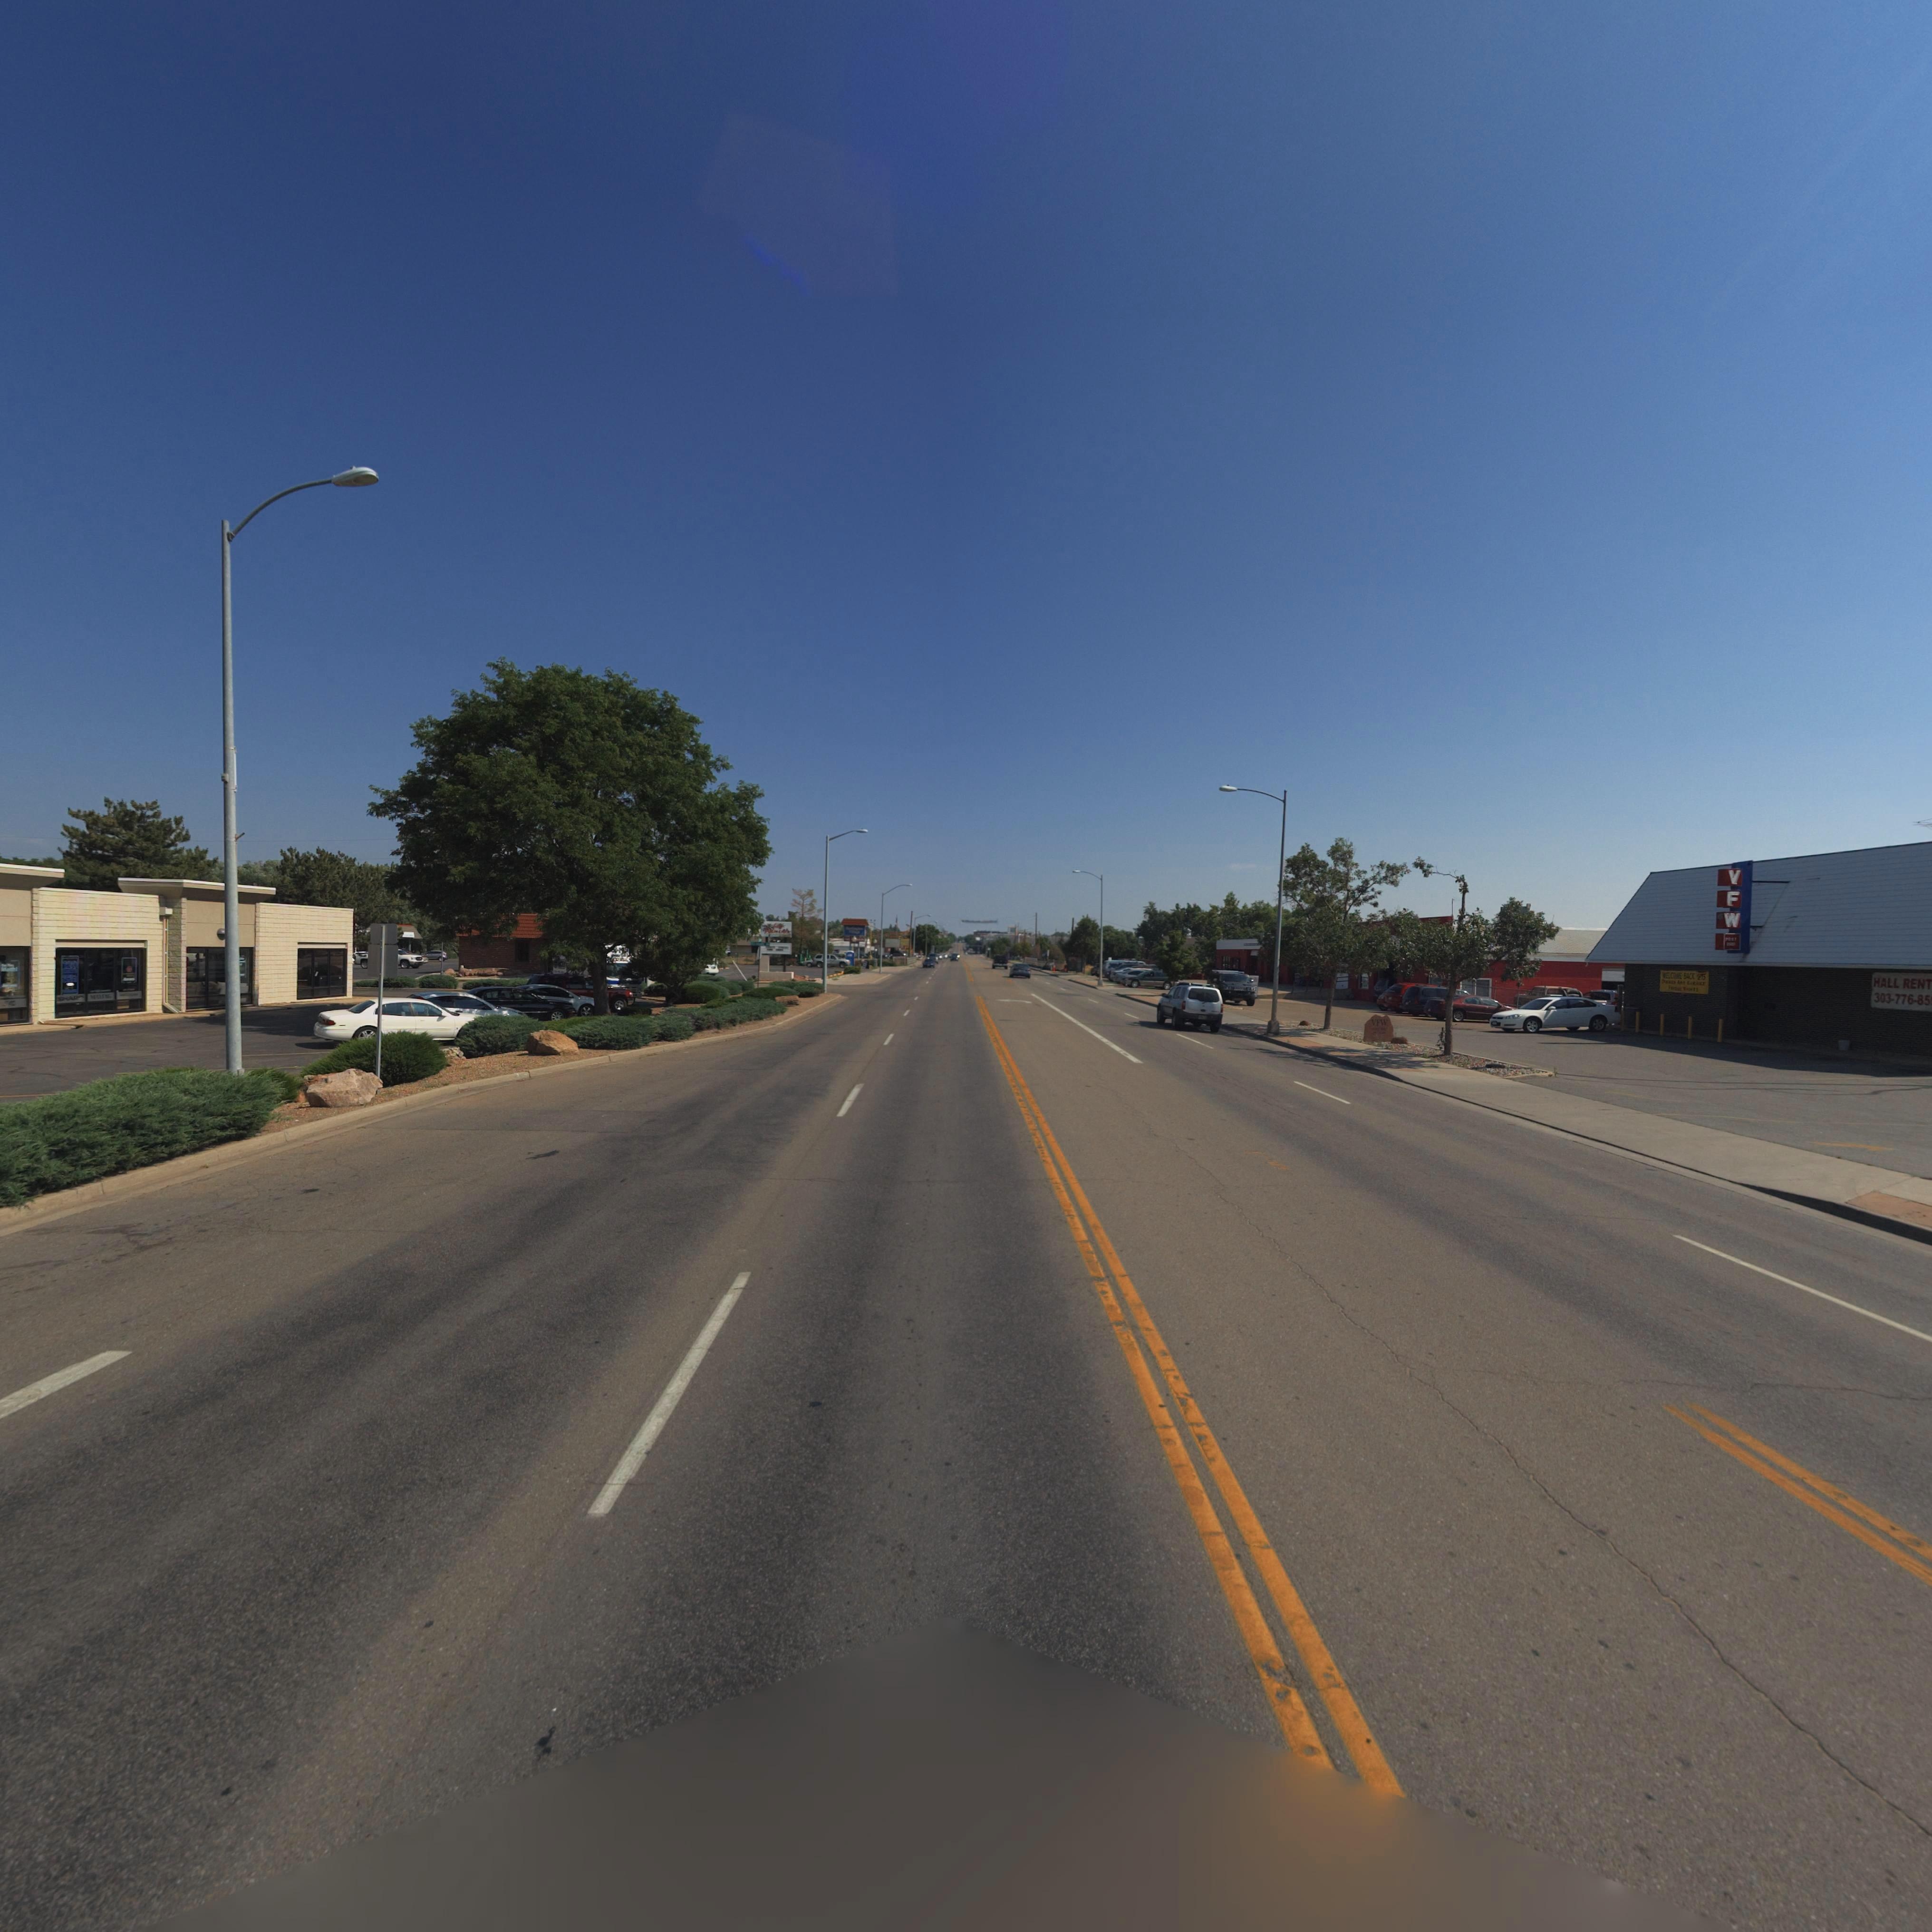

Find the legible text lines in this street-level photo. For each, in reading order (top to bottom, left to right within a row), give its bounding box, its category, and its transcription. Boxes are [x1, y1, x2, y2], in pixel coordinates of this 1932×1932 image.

[1723, 869, 1741, 928] BusinessName: VFW
[763, 926, 790, 935] None: Palmeras
[772, 922, 782, 929] BusinessName: Las
[1371, 1018, 1389, 1026] BusinessName: VFW